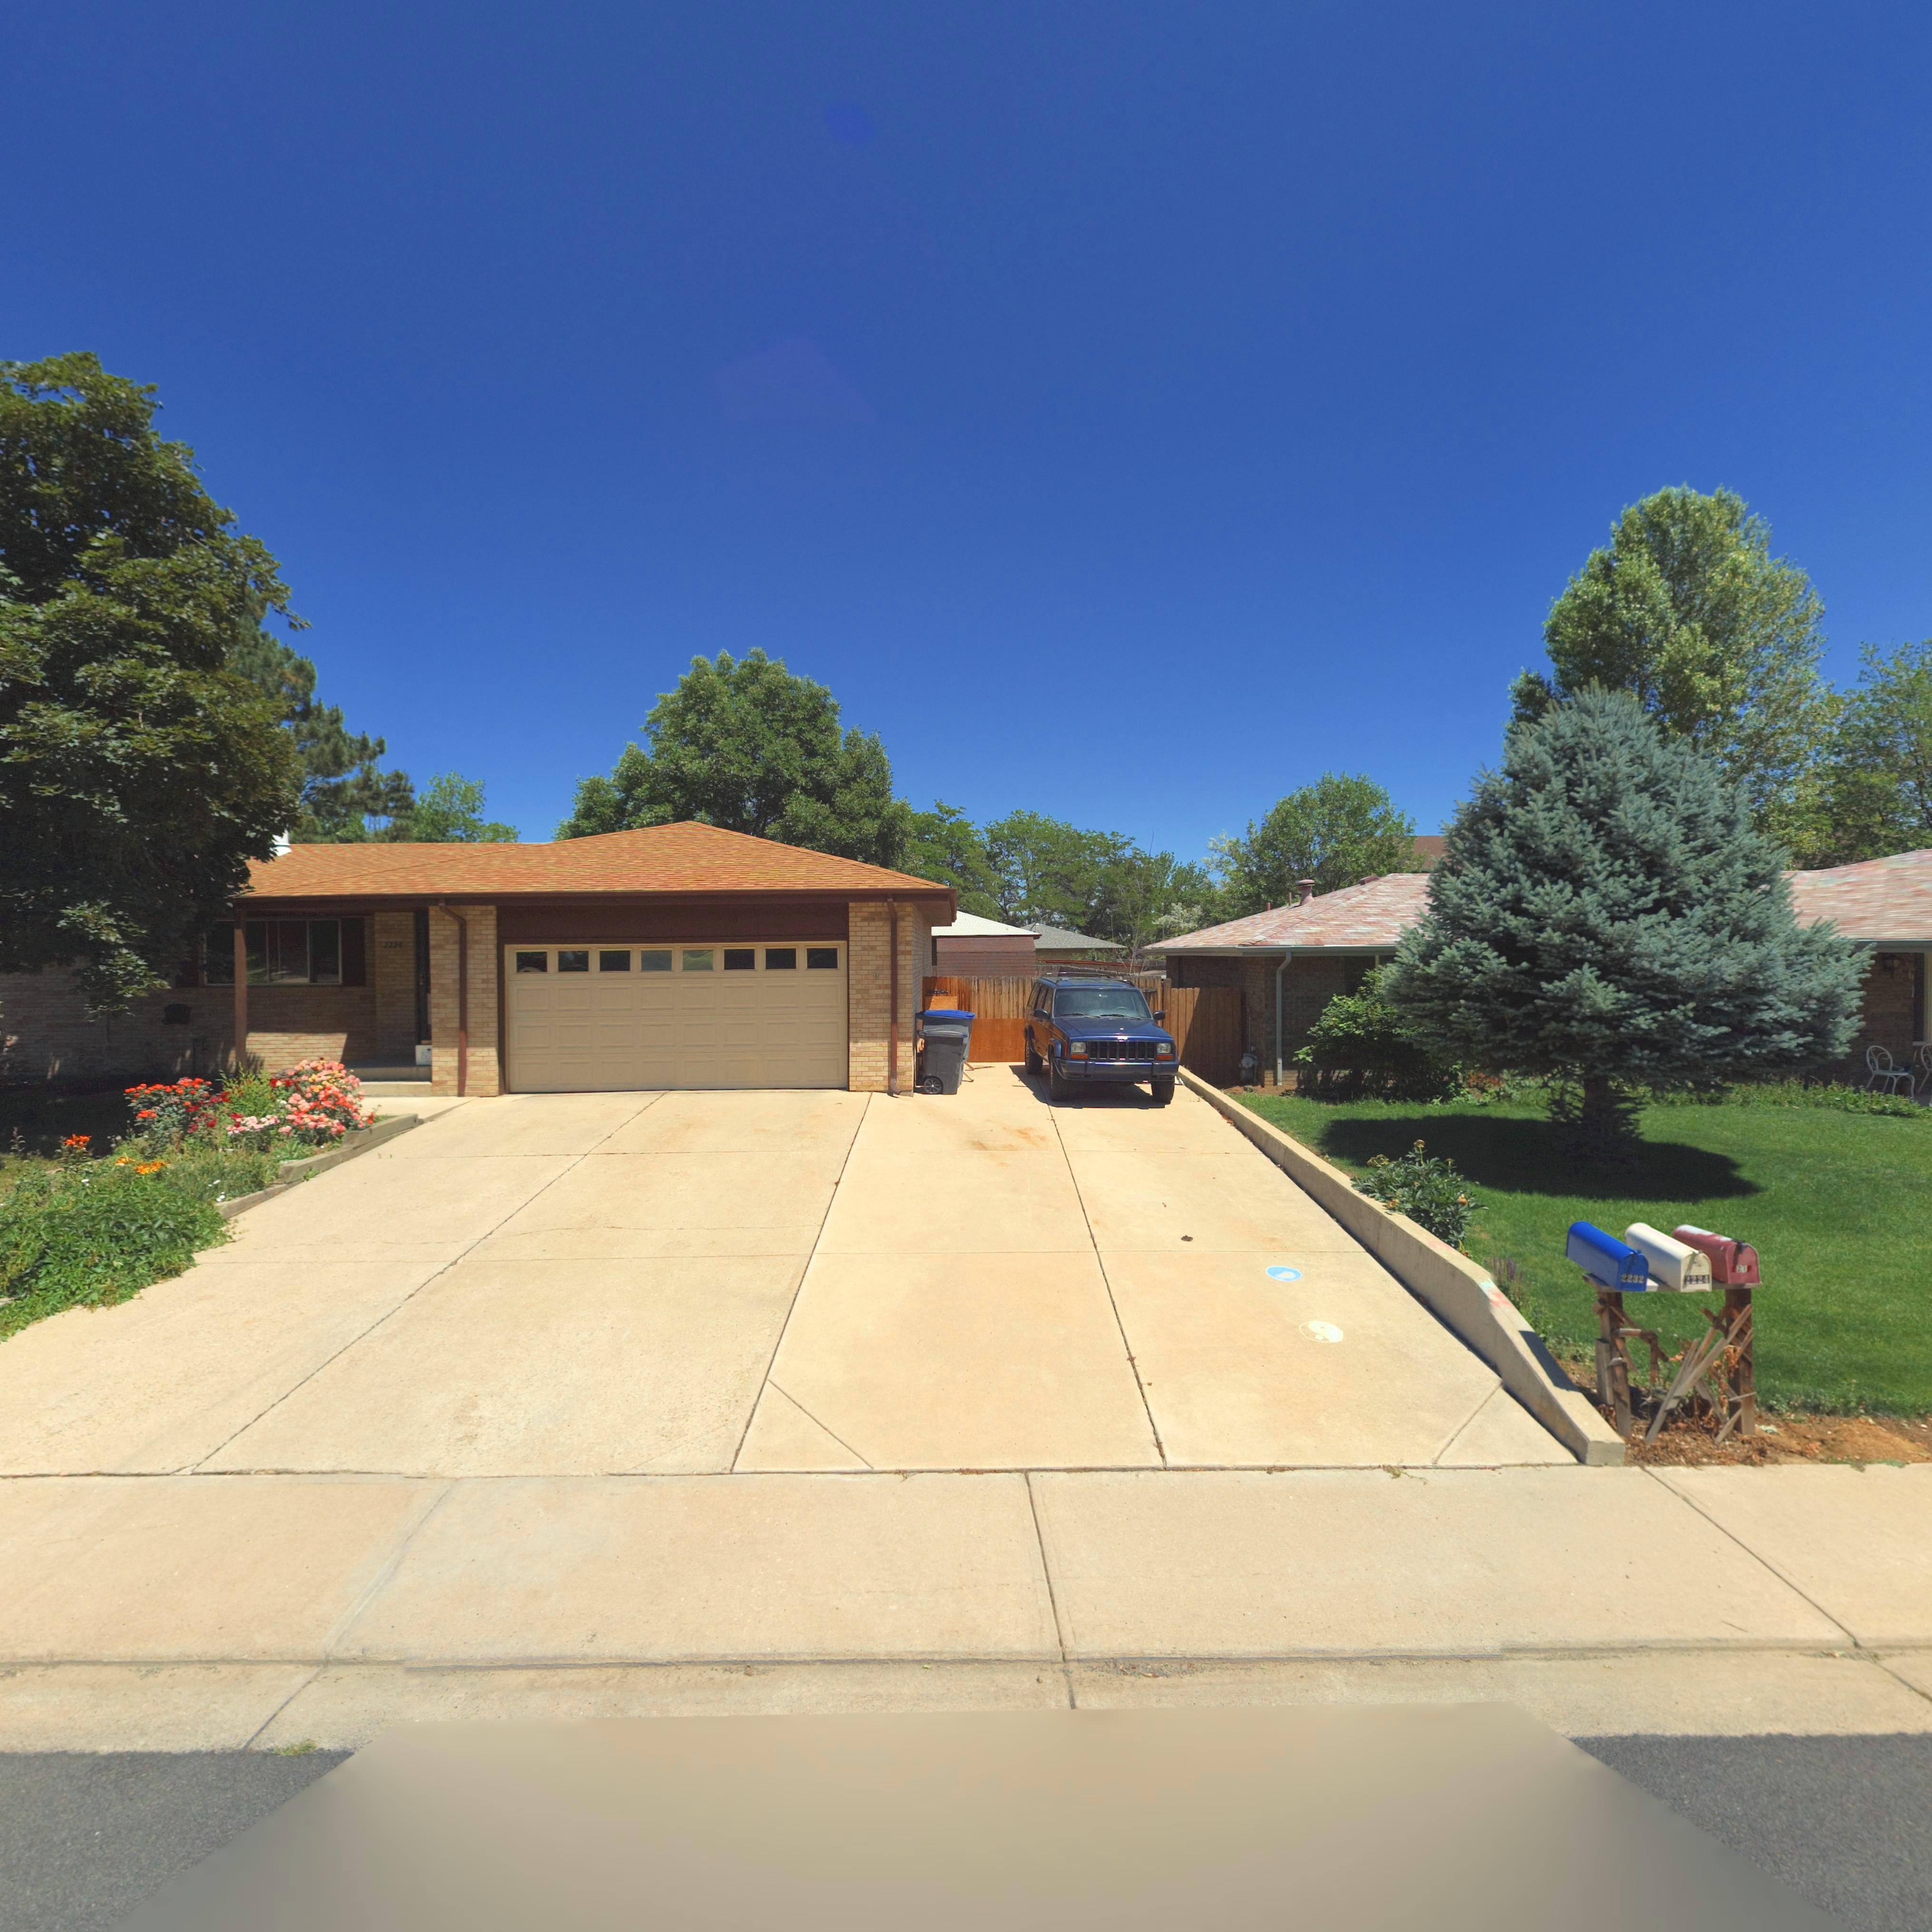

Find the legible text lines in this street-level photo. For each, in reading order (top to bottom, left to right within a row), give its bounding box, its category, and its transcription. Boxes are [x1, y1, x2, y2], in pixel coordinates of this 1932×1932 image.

[381, 939, 405, 949] StreetNumber: 2226
[1734, 1264, 1749, 1272] StreetNumber: 21
[1621, 1274, 1644, 1284] StreetNumber: 2232
[1683, 1273, 1710, 1285] StreetNumber: 2224